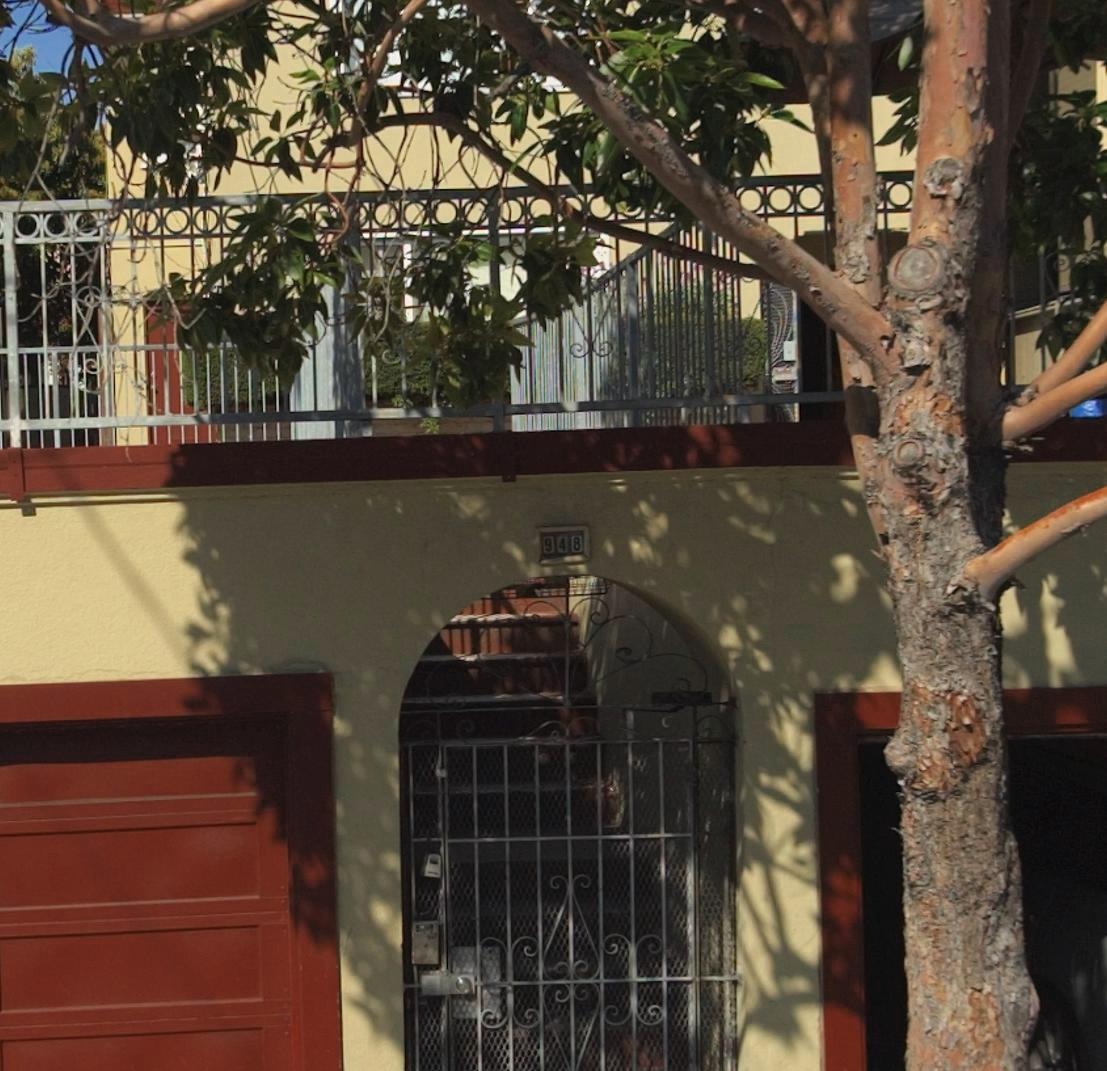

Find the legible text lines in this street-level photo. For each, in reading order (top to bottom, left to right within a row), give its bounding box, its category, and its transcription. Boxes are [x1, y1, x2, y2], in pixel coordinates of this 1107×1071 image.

[542, 535, 583, 555] StreetNumber: 948